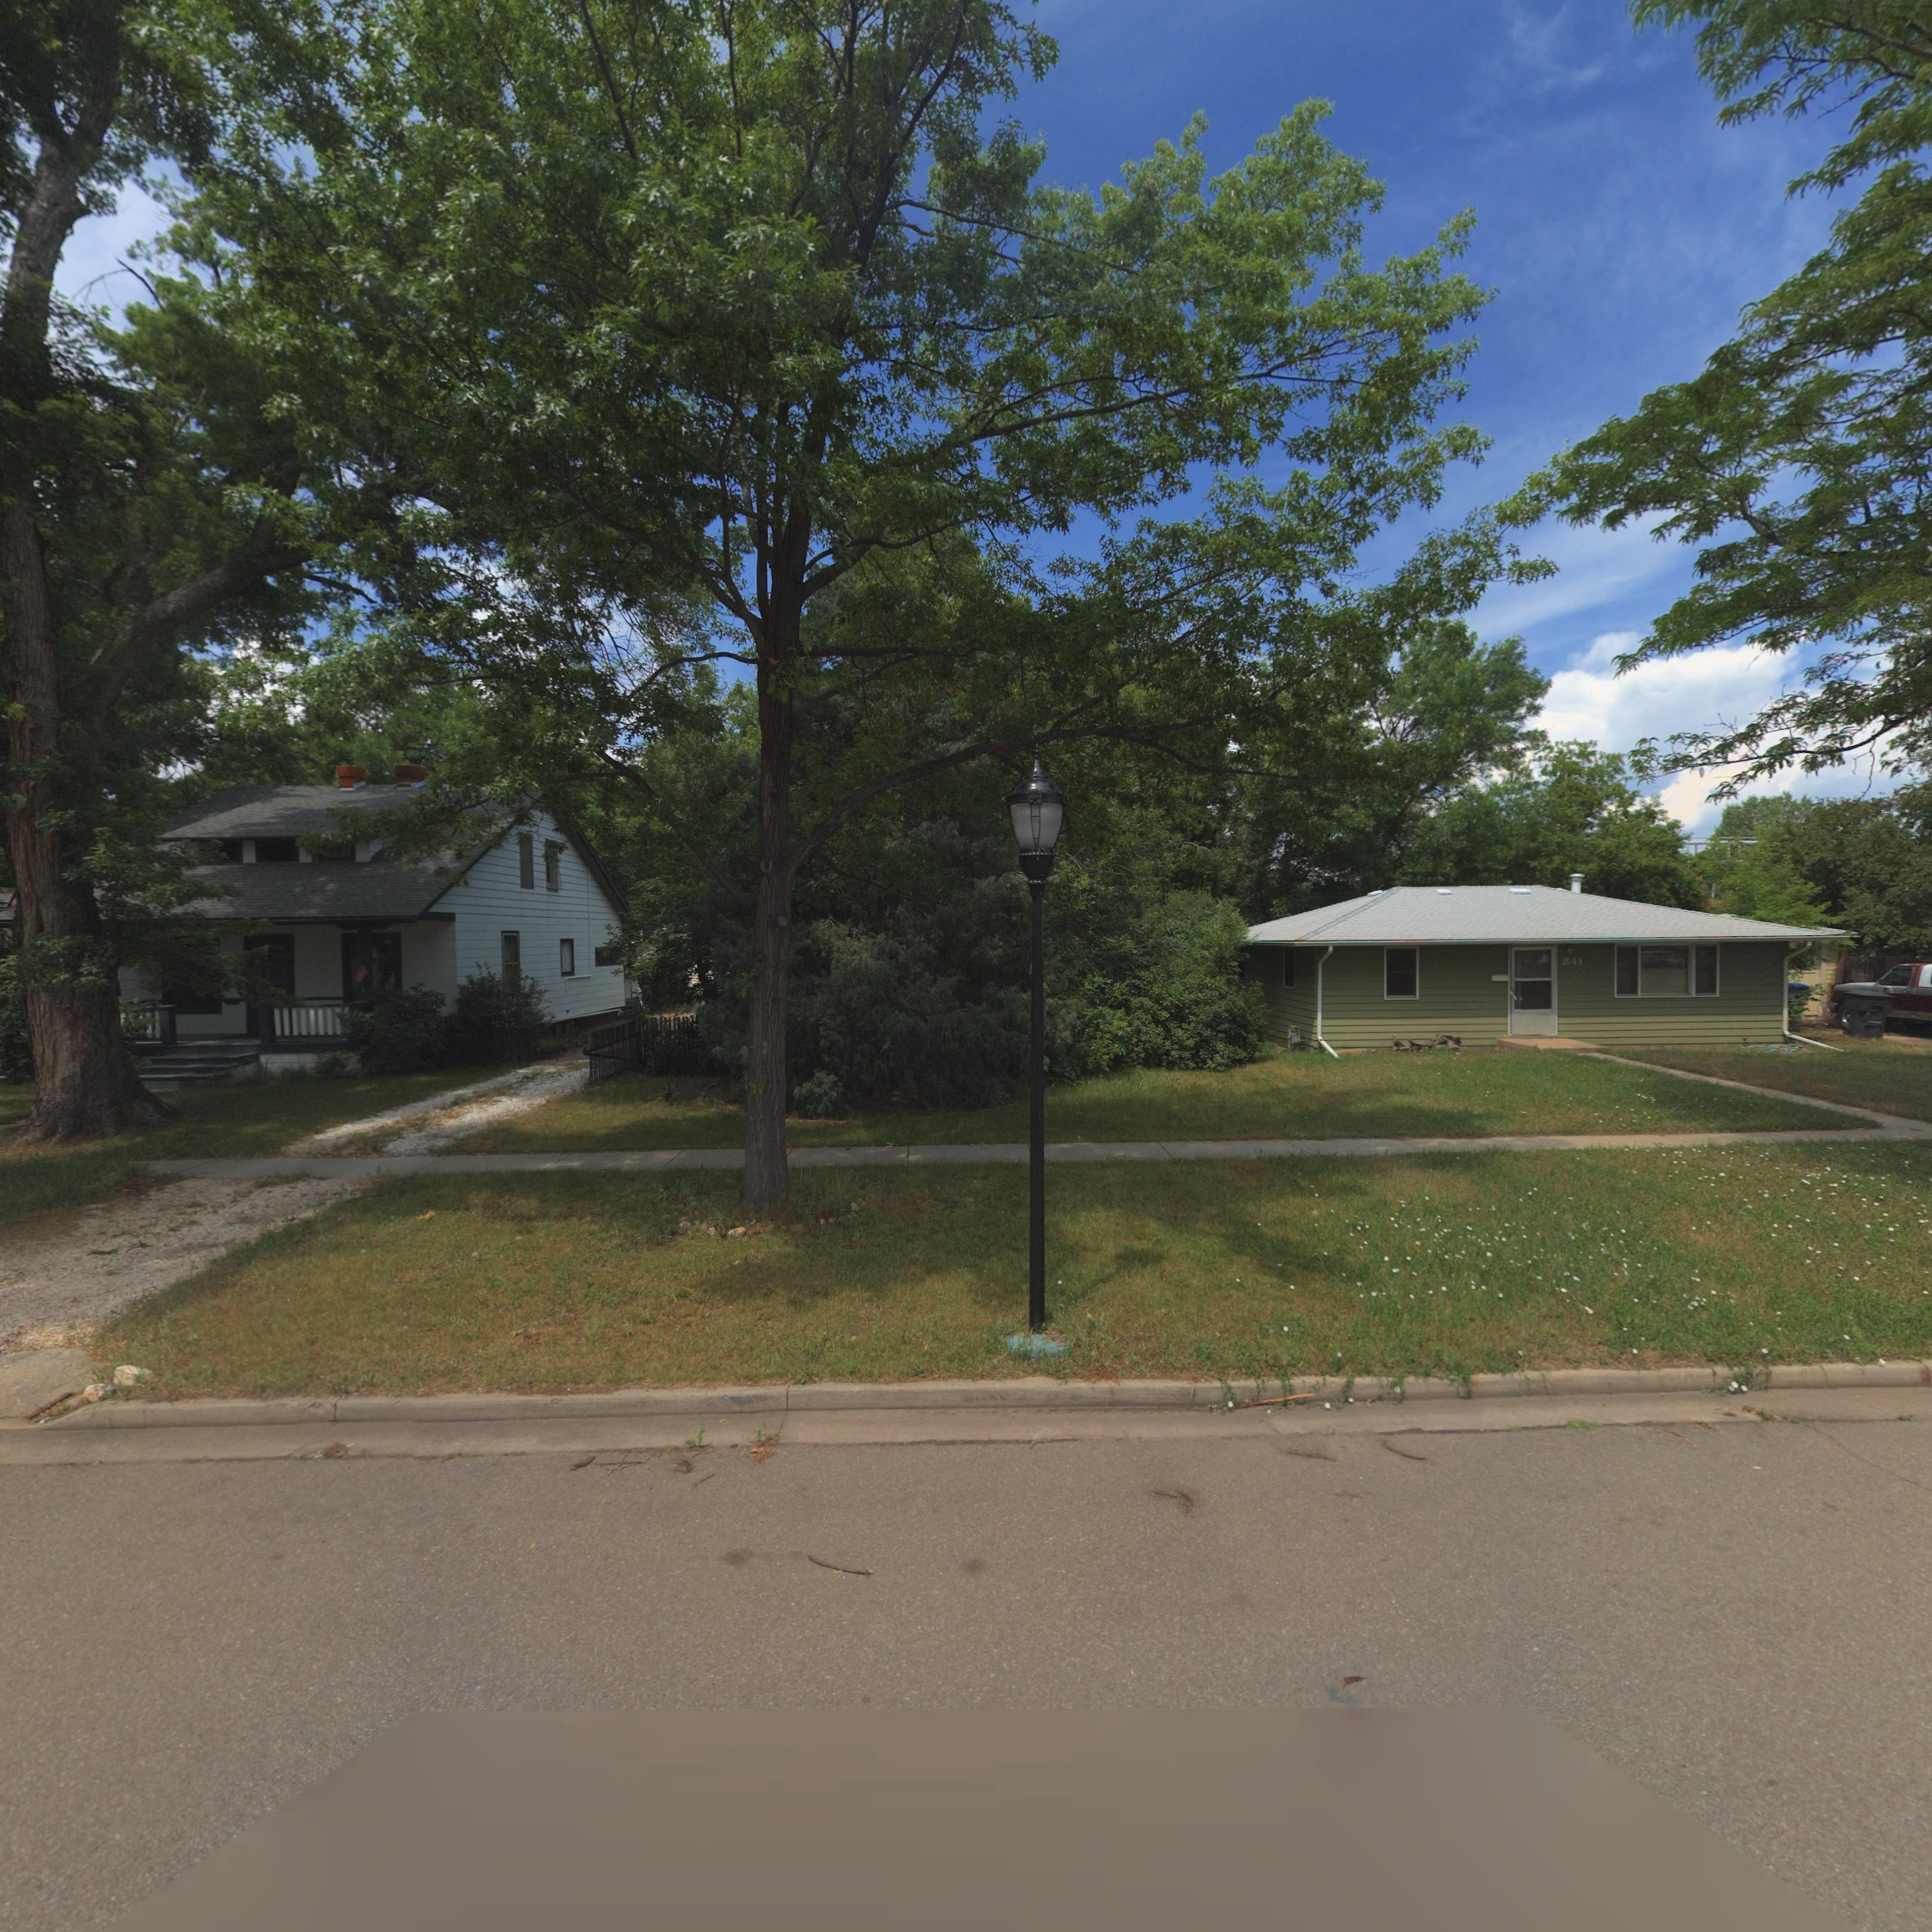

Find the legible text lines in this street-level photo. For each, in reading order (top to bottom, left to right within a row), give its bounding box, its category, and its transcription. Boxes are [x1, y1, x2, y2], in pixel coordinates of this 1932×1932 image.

[1562, 956, 1582, 966] StreetNumber: 841